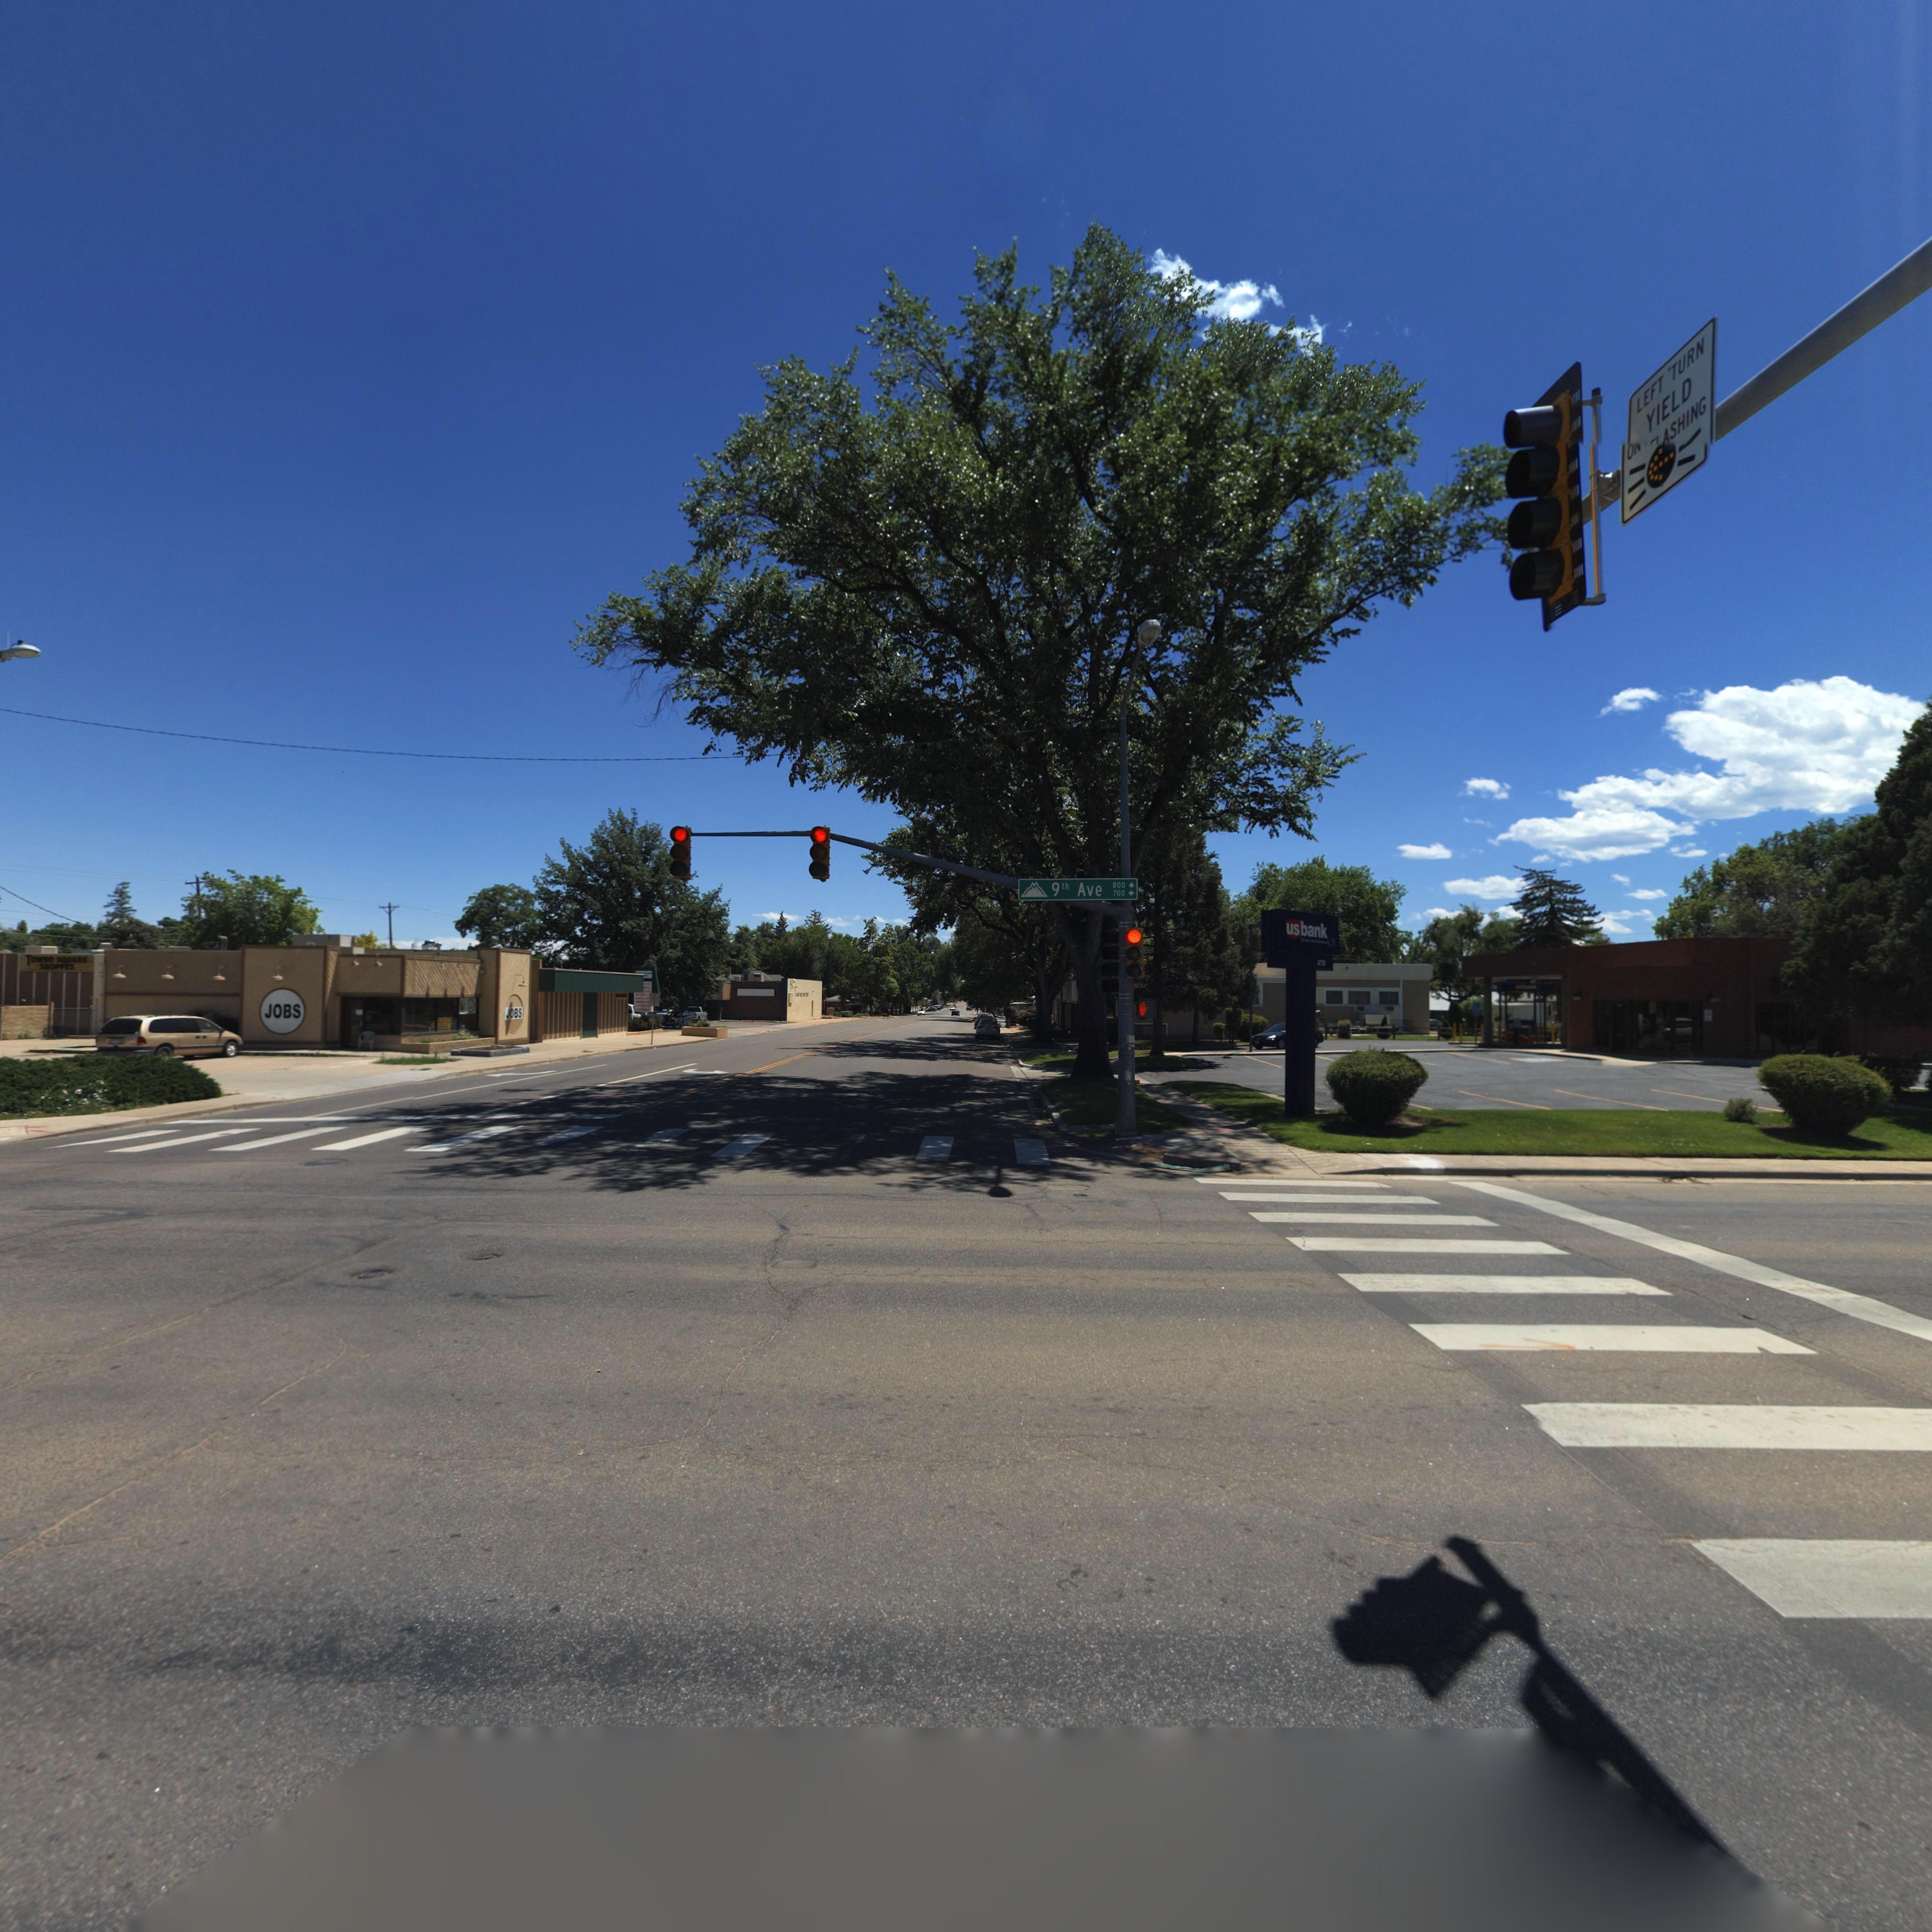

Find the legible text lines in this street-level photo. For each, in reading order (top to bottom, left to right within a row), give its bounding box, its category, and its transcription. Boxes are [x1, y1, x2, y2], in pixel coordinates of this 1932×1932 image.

[1112, 881, 1125, 888] StreetNumberRange: 800
[1050, 881, 1103, 897] StreetName: 9th Ave
[1112, 889, 1134, 896] StreetNumberRange: 700 ->
[1285, 919, 1328, 939] BusinessName: usbank
[25, 954, 87, 966] BusinessName: Towne SQUARE
[39, 963, 75, 970] BusinessName: SHOPPES
[1515, 984, 1536, 989] BusinessName: *****k